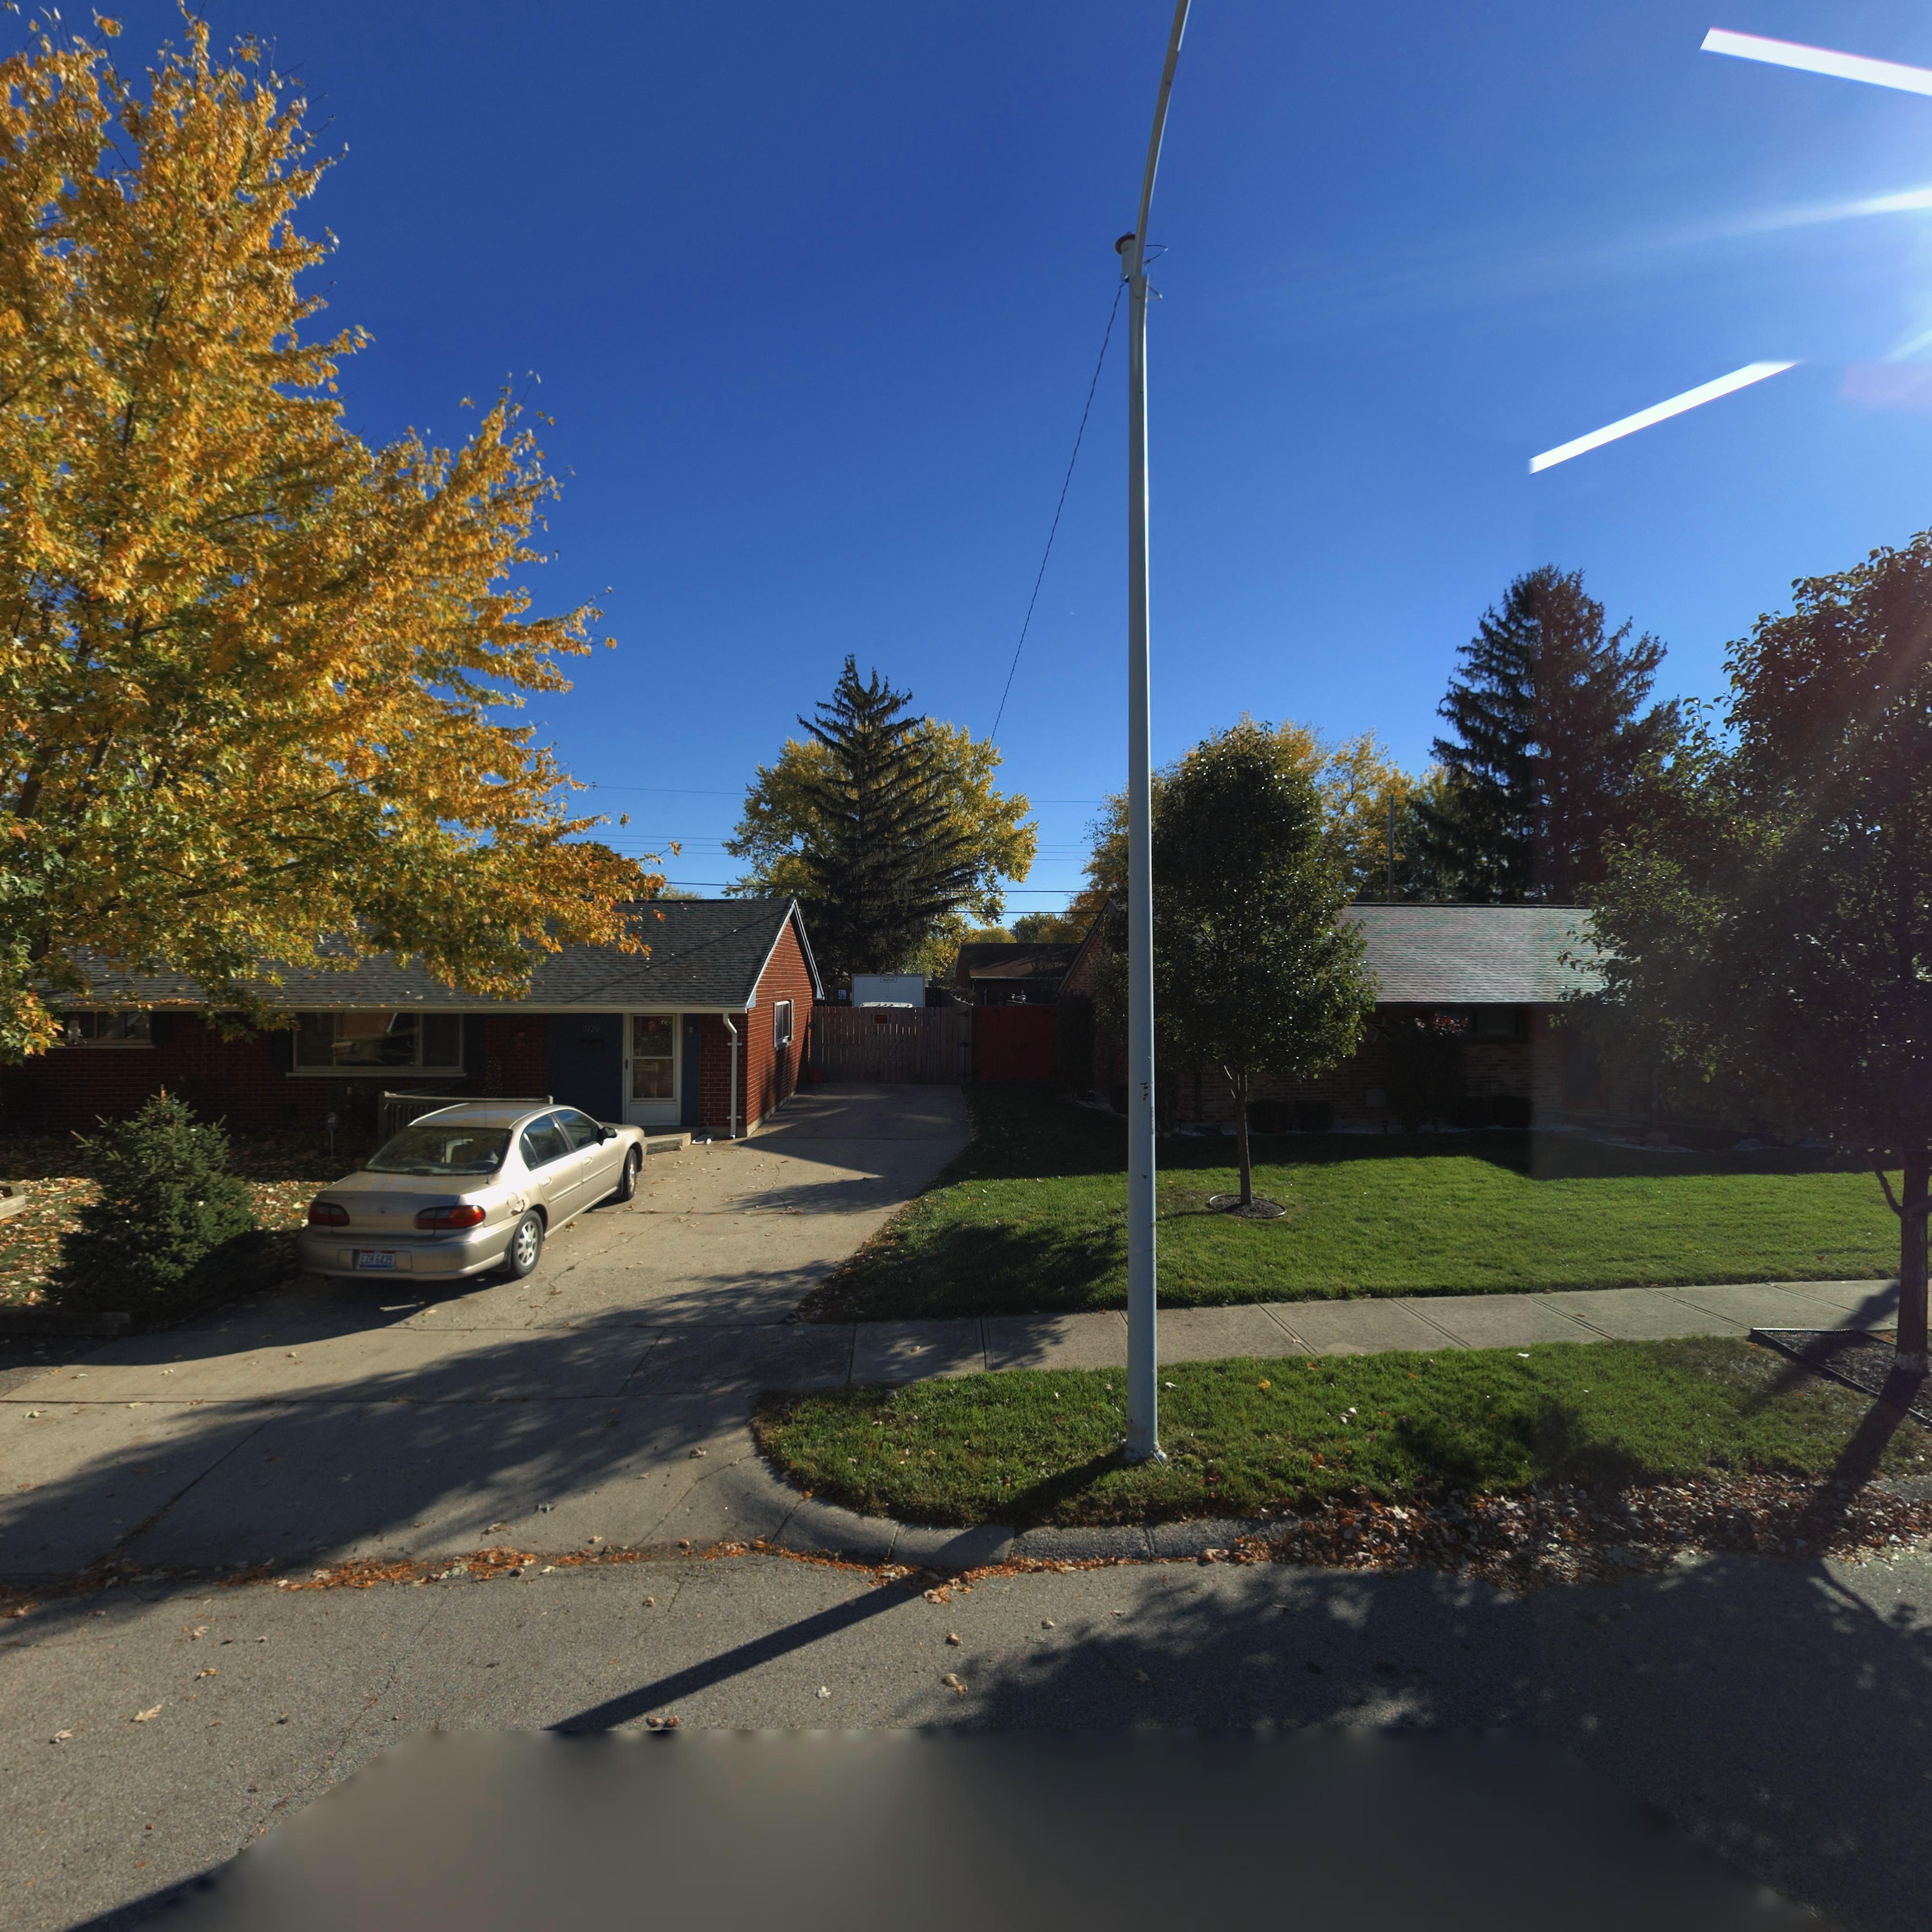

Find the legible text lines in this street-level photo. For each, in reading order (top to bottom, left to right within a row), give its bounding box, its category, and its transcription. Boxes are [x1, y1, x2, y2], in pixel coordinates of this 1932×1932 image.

[581, 1024, 600, 1033] StreetNumber: 5120